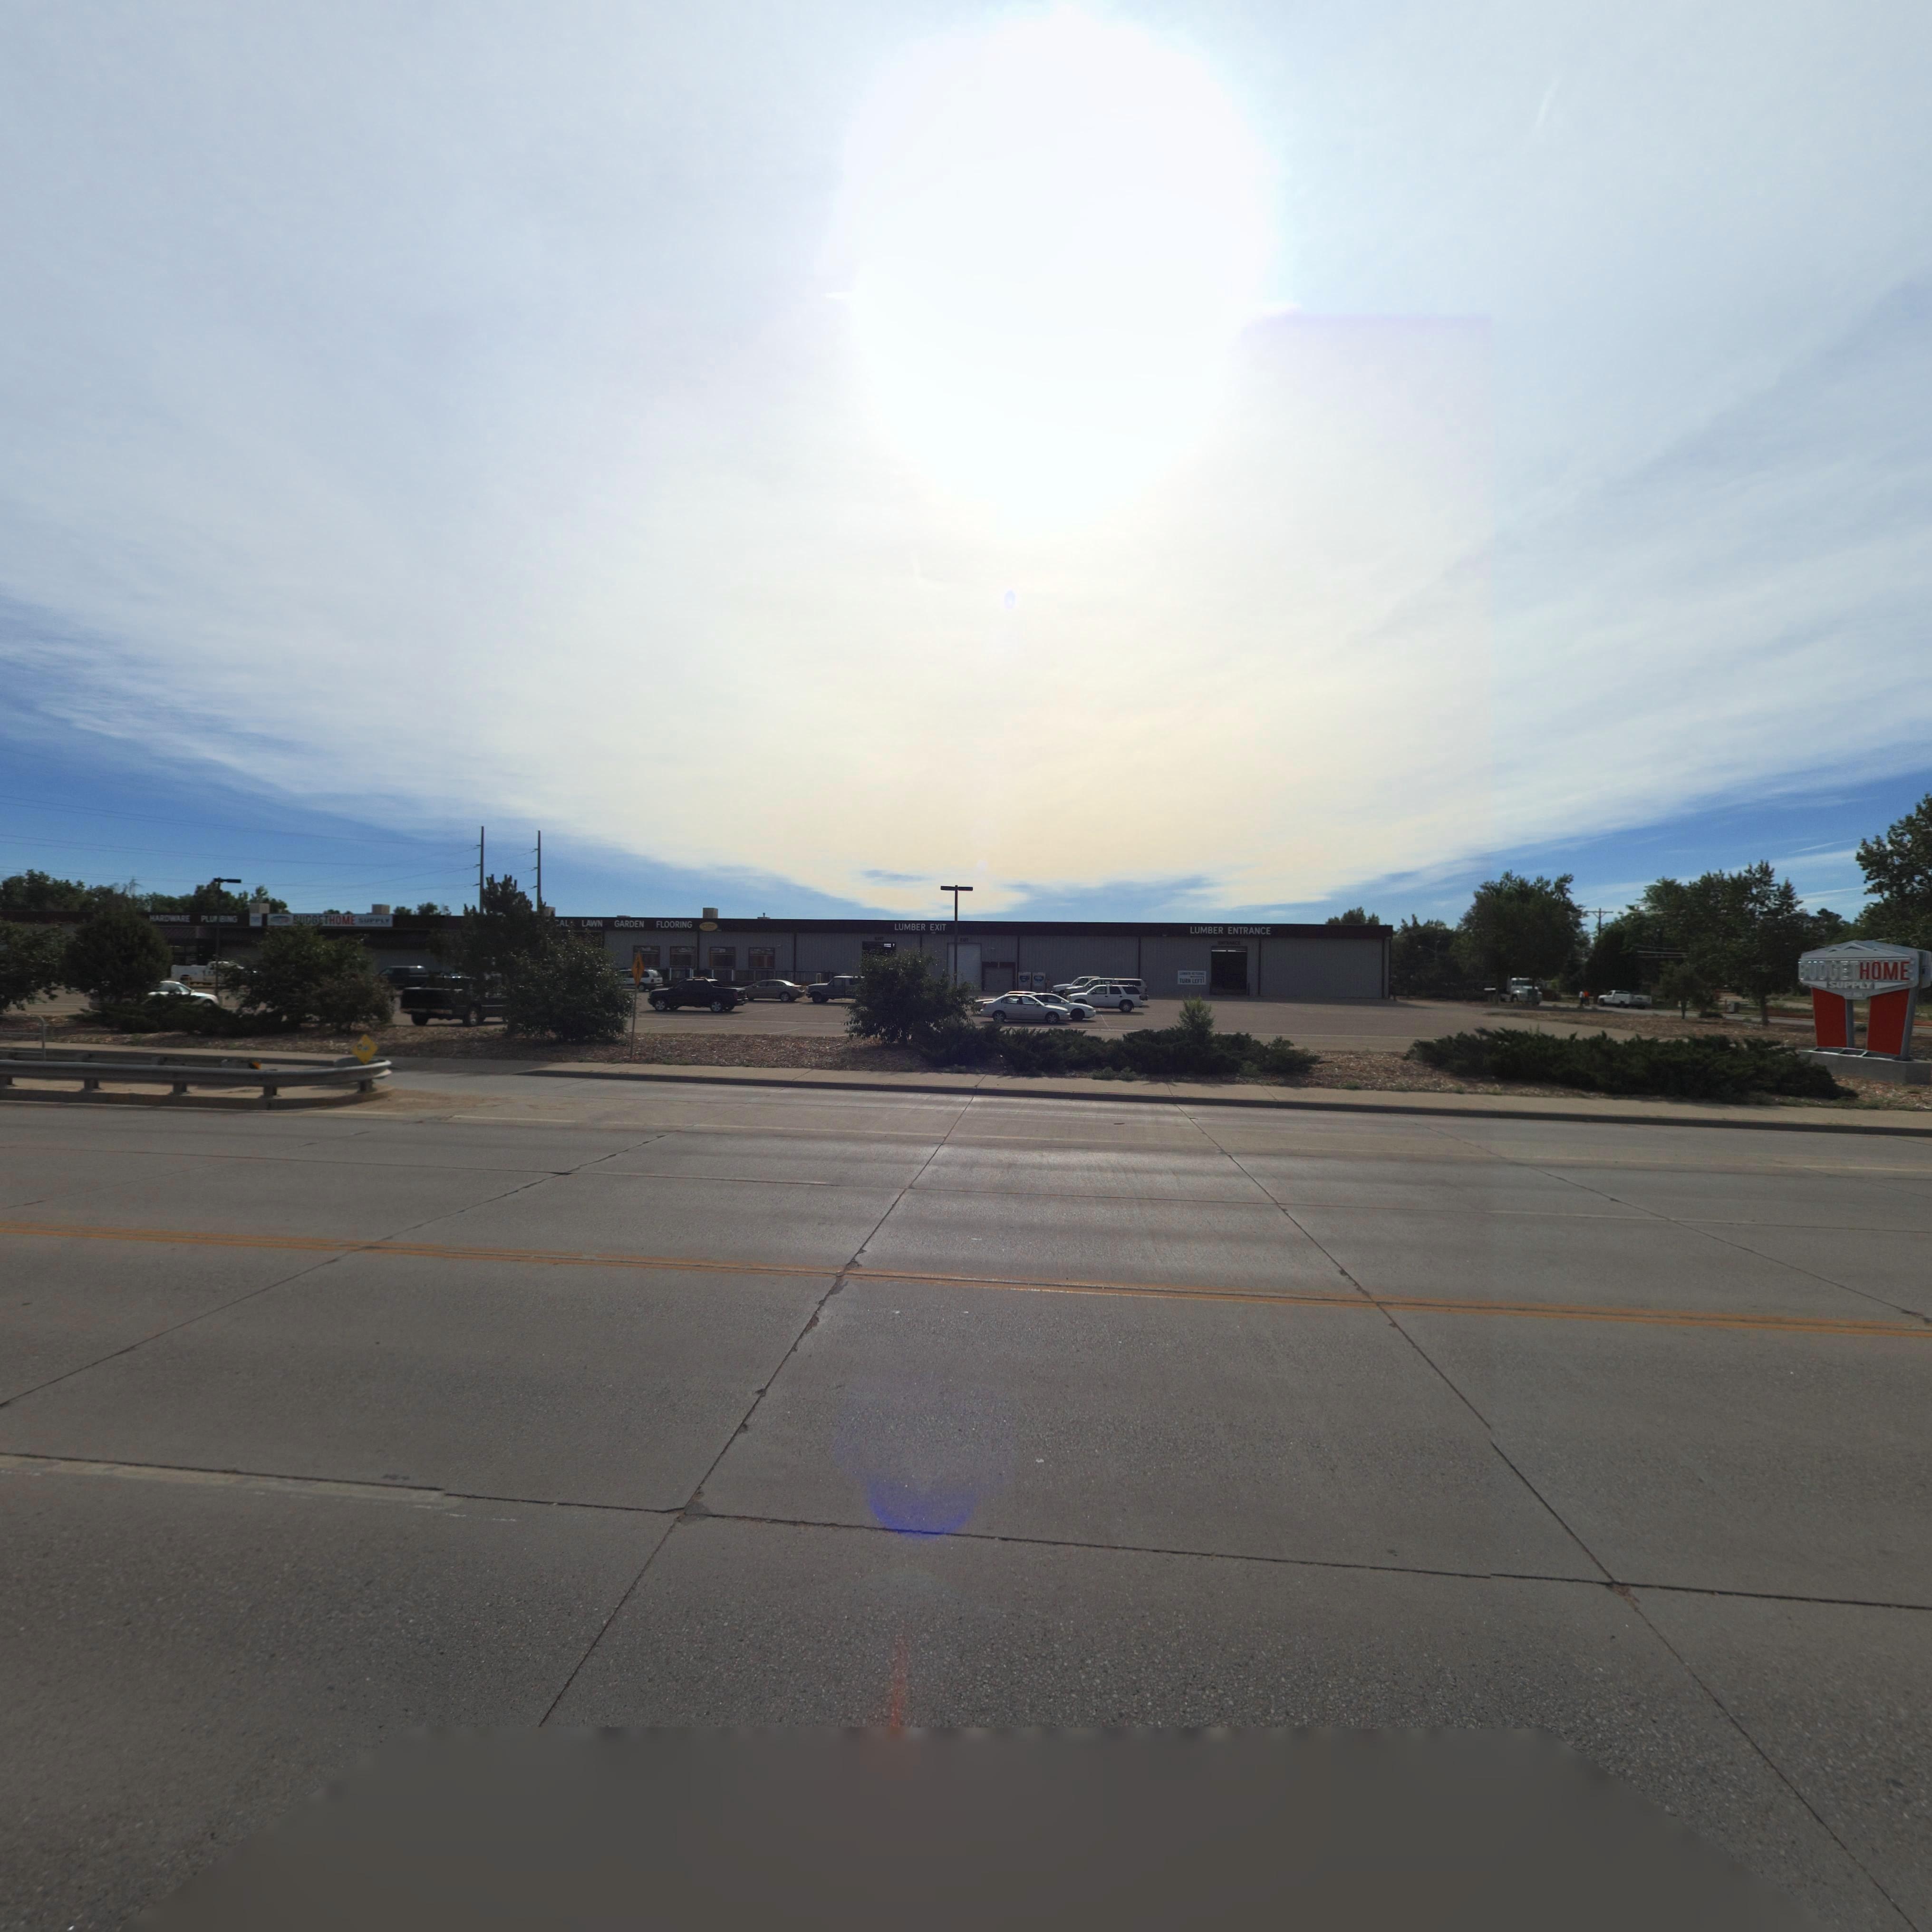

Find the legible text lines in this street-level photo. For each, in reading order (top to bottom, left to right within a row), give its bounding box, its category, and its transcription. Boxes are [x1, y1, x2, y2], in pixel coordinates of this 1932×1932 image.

[292, 914, 357, 925] BusinessName: BUDGETHOME
[358, 917, 390, 923] BusinessName: *UPPLY
[1797, 960, 1911, 981] BusinessName: BUDGETHOME
[1827, 981, 1873, 989] BusinessName: SUPPLY